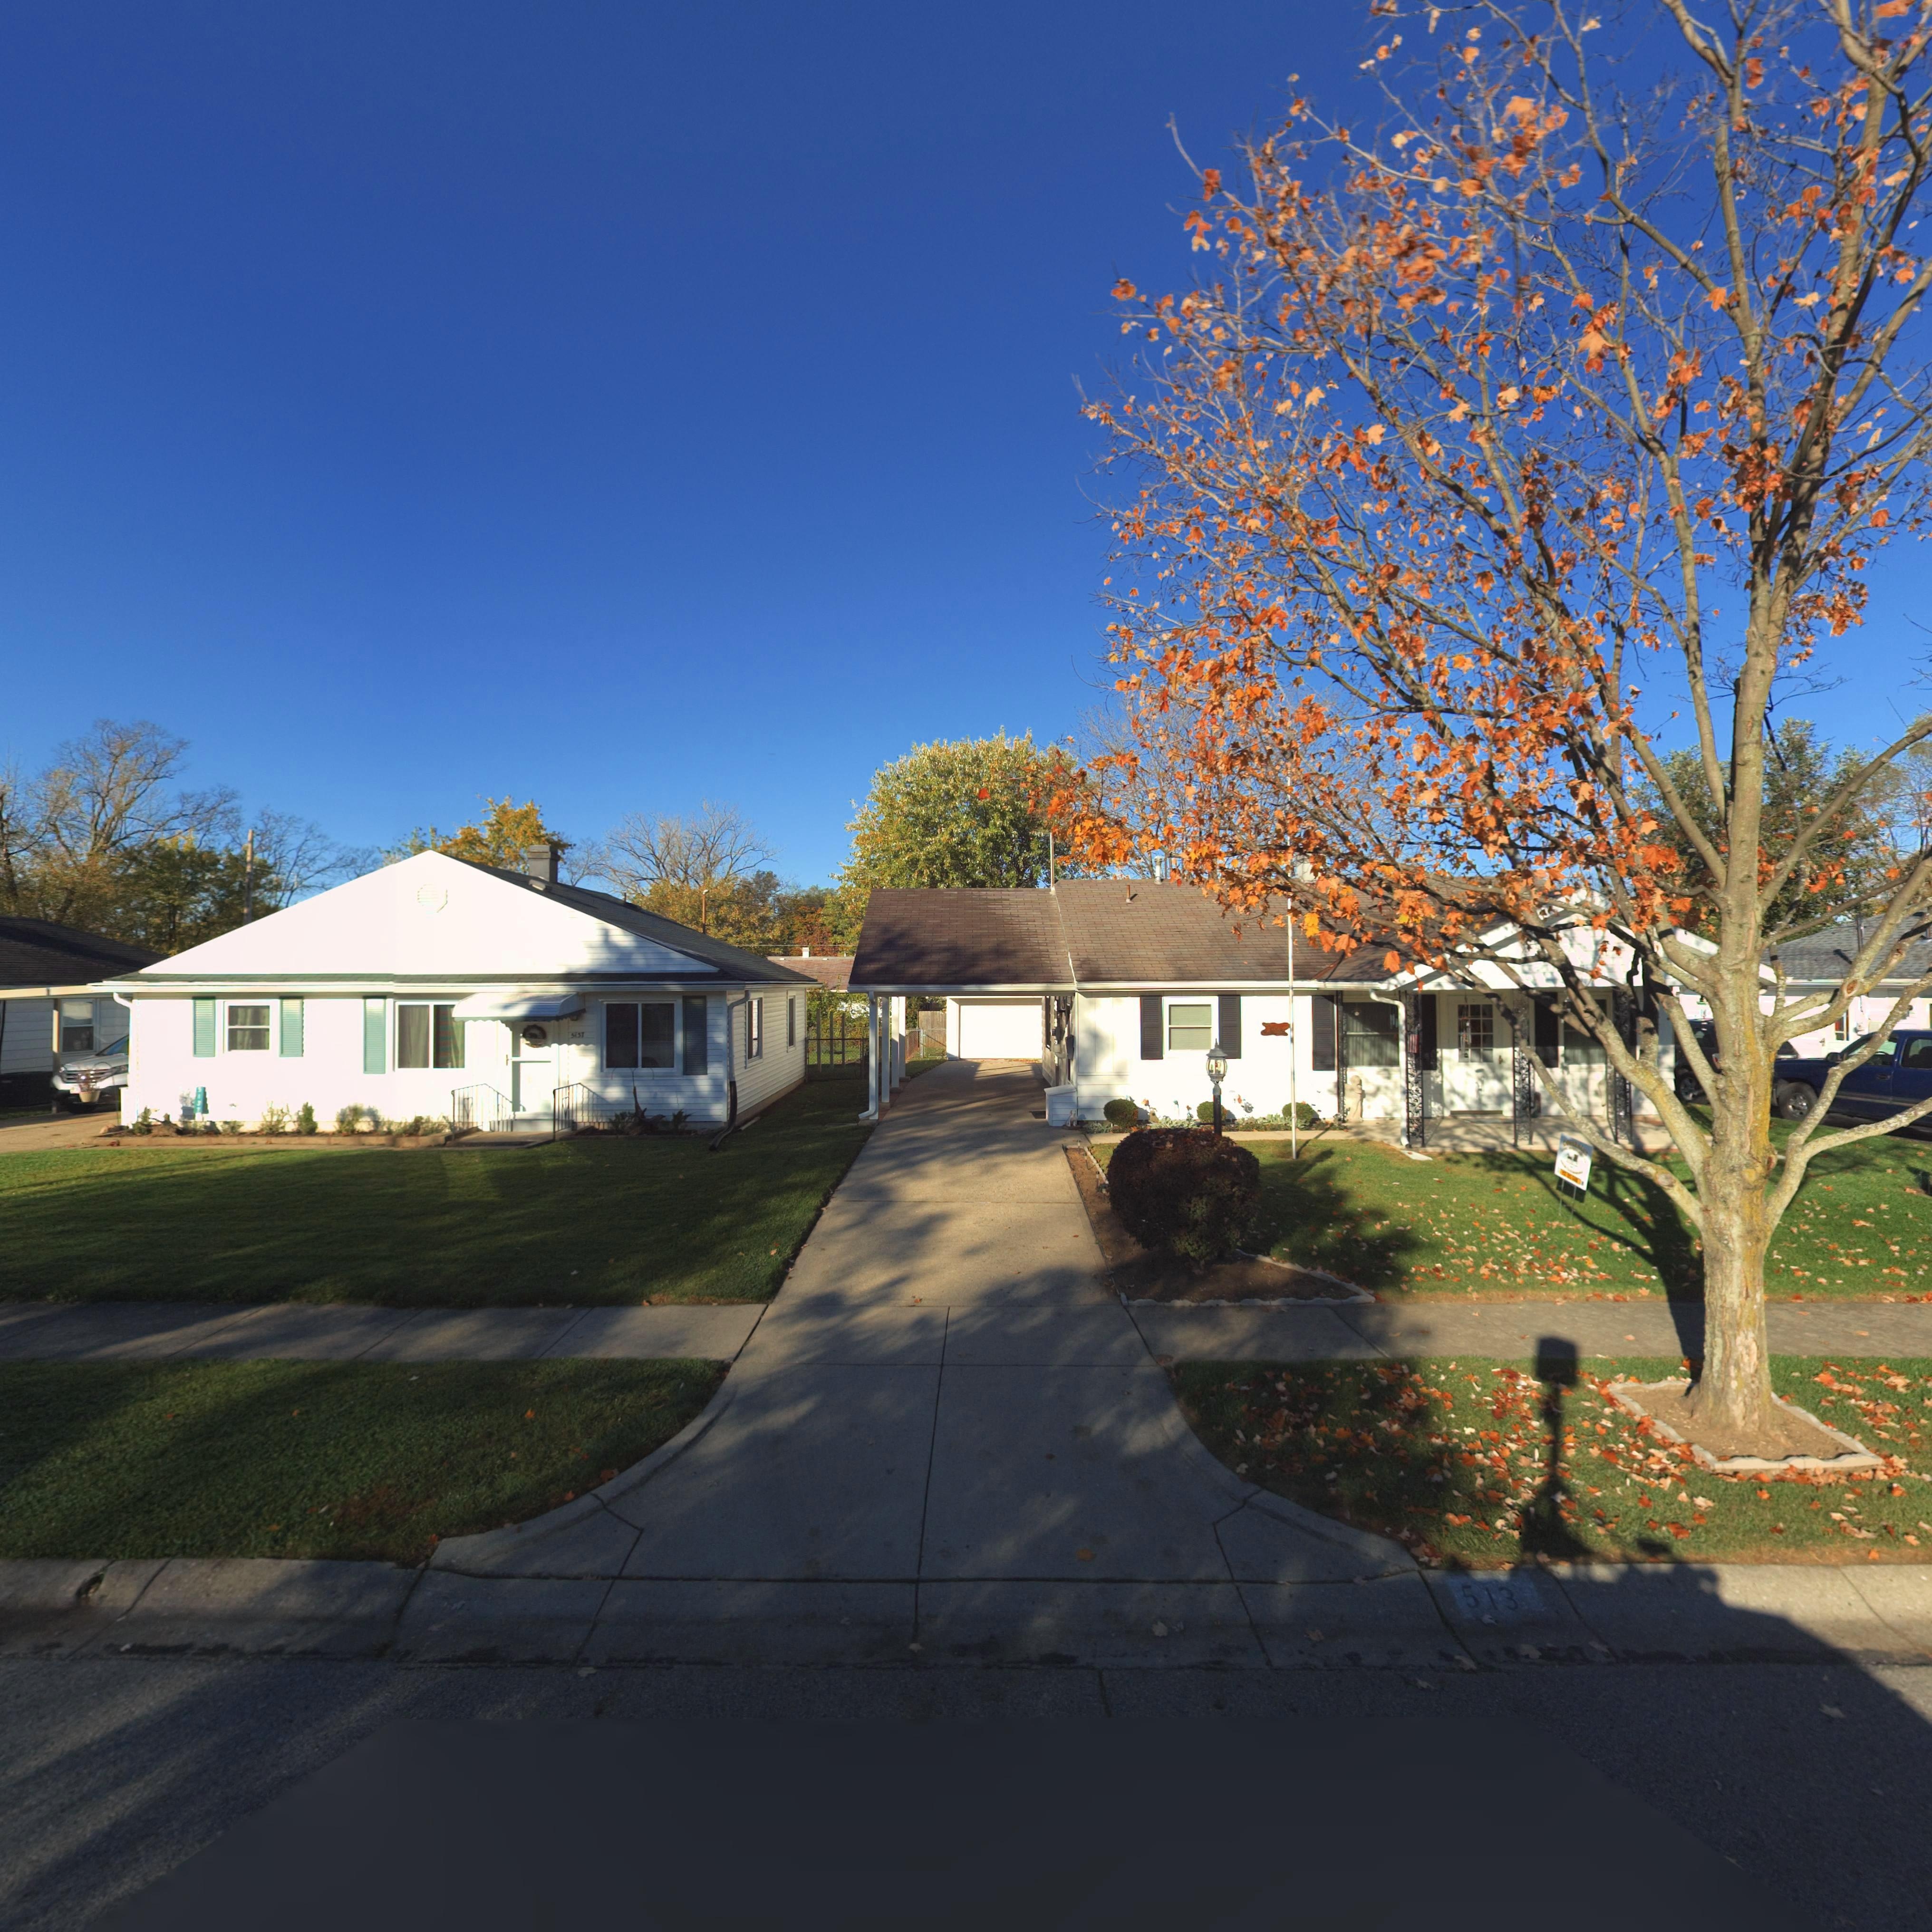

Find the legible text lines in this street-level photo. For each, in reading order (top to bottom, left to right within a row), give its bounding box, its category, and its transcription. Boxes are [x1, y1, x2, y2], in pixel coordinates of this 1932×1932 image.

[570, 1031, 585, 1039] StreetNumber: 5137
[196, 1086, 202, 1112] StreetNumber: 5137
[1460, 1584, 1521, 1611] StreetNumber: 513